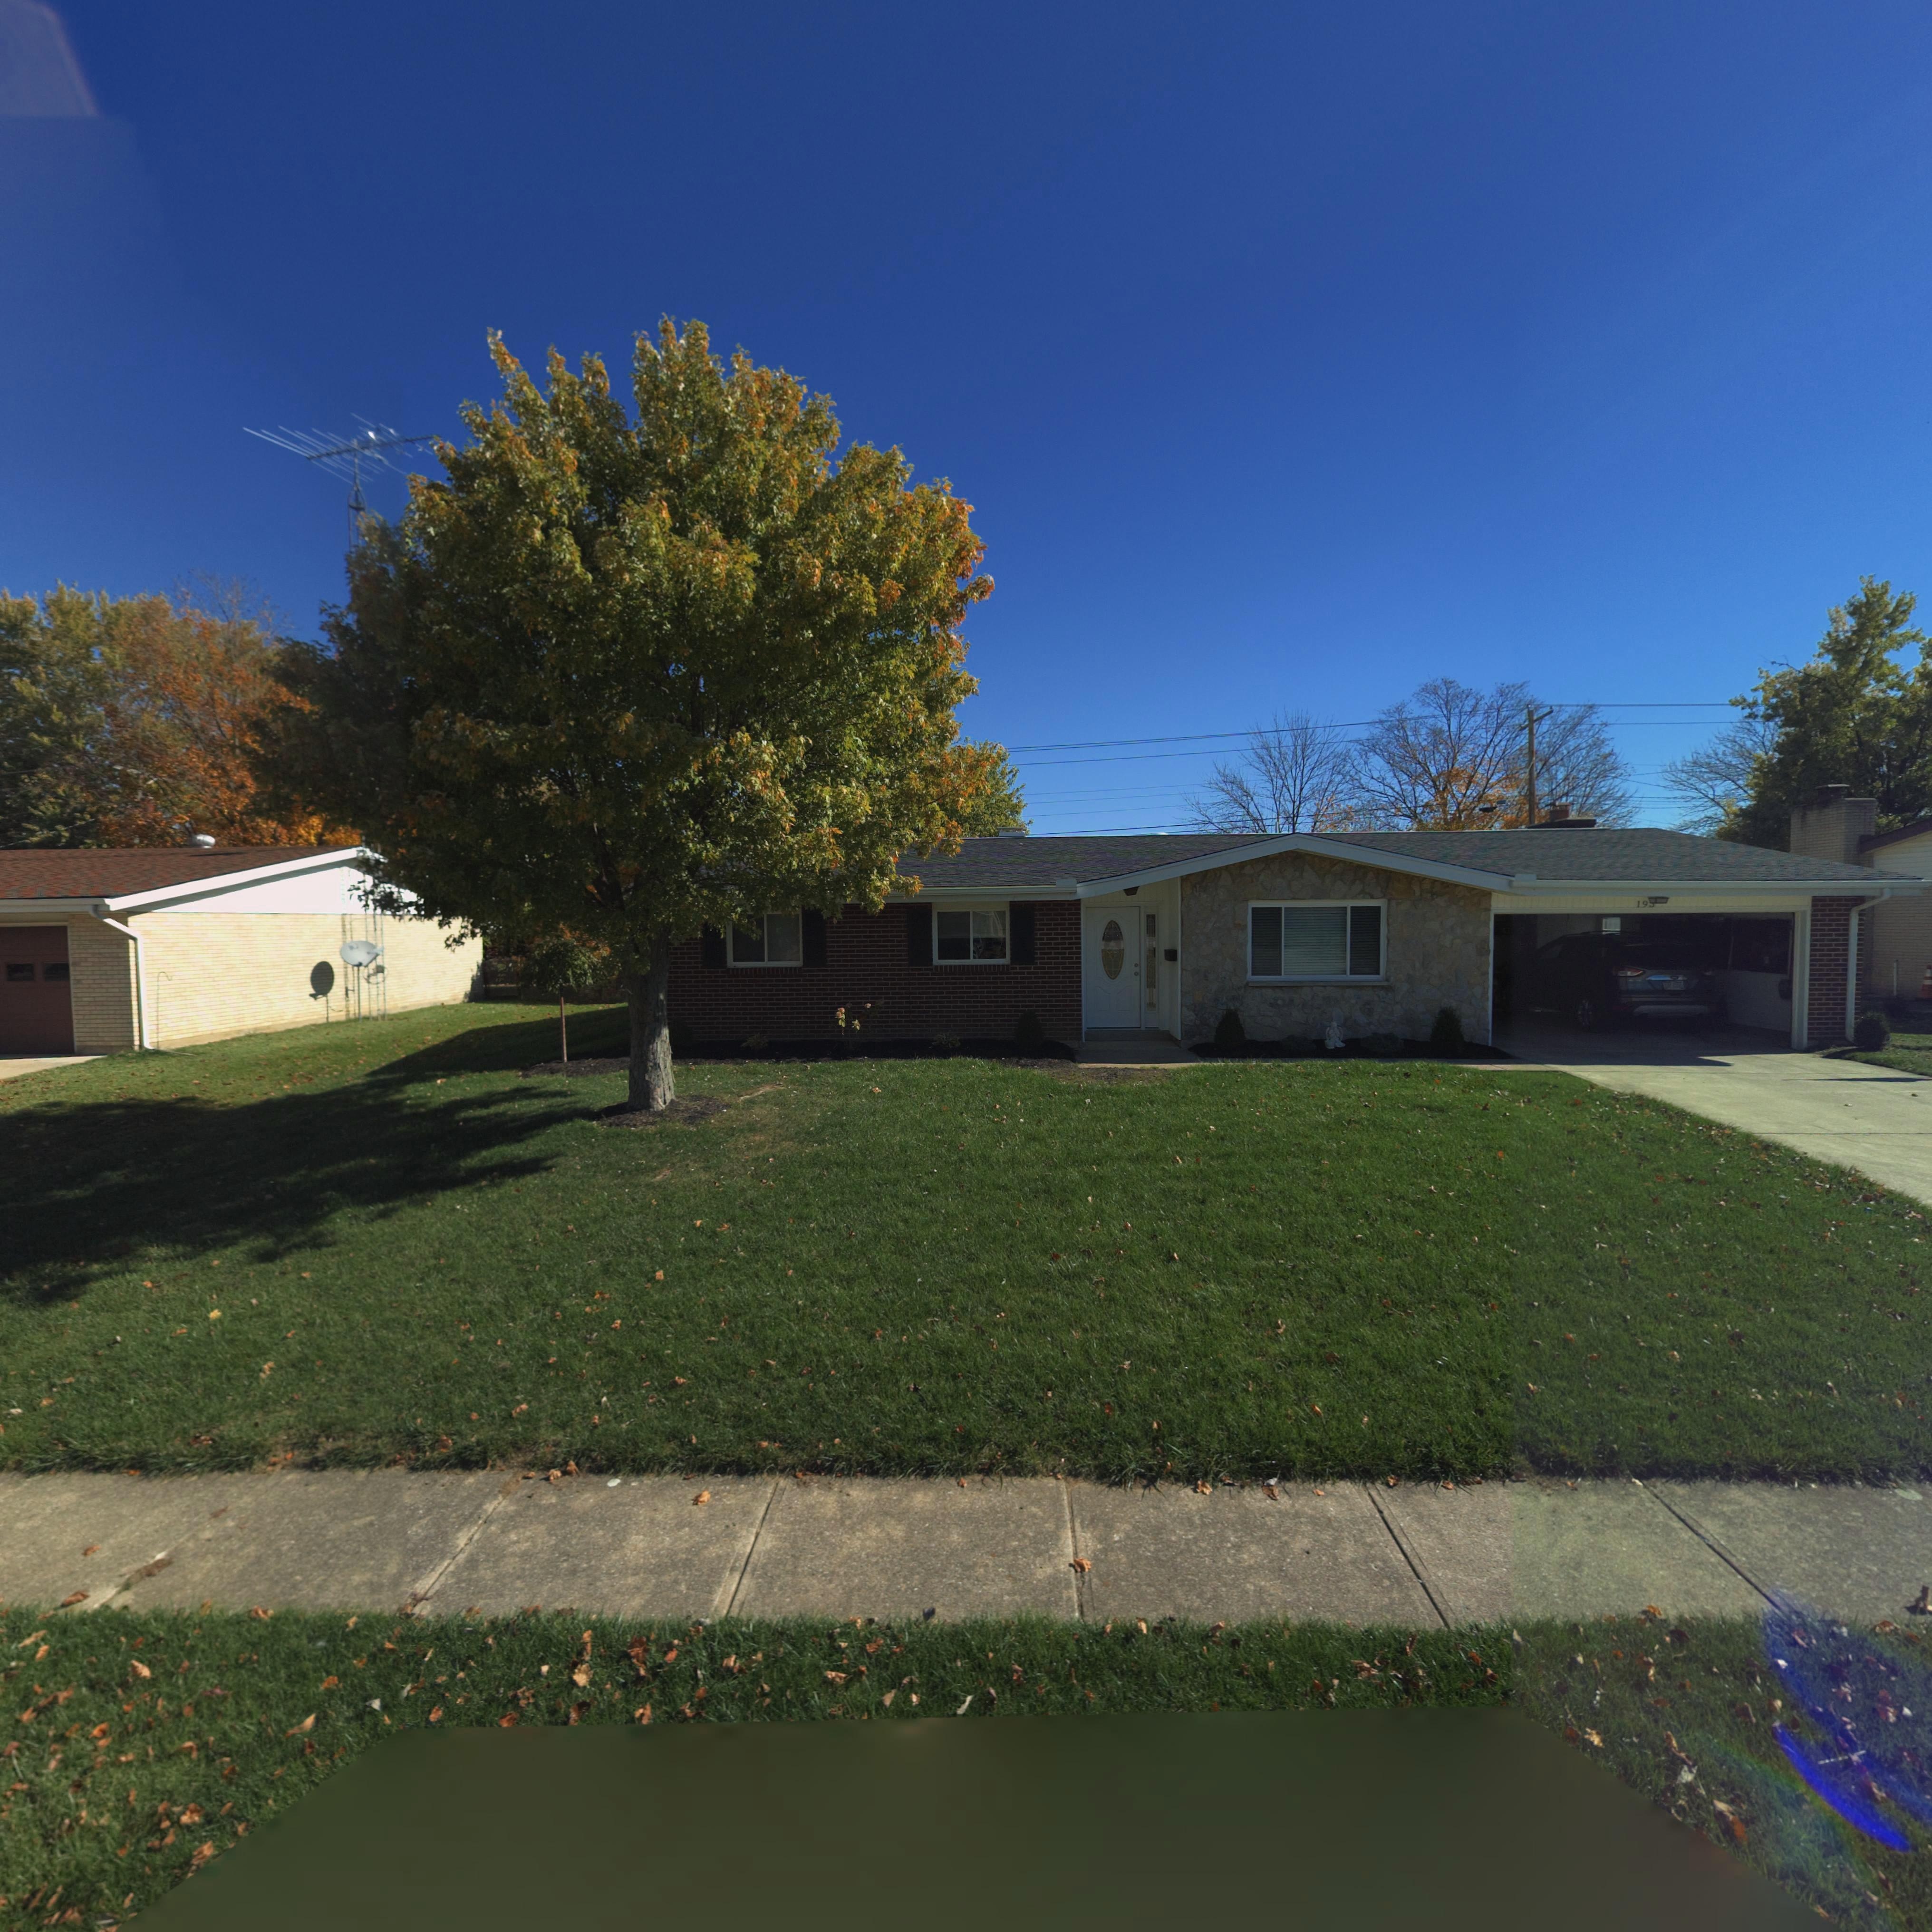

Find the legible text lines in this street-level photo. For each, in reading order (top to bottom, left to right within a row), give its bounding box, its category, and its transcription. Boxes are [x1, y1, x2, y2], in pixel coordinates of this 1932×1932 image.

[1636, 899, 1649, 909] StreetNumber: 19